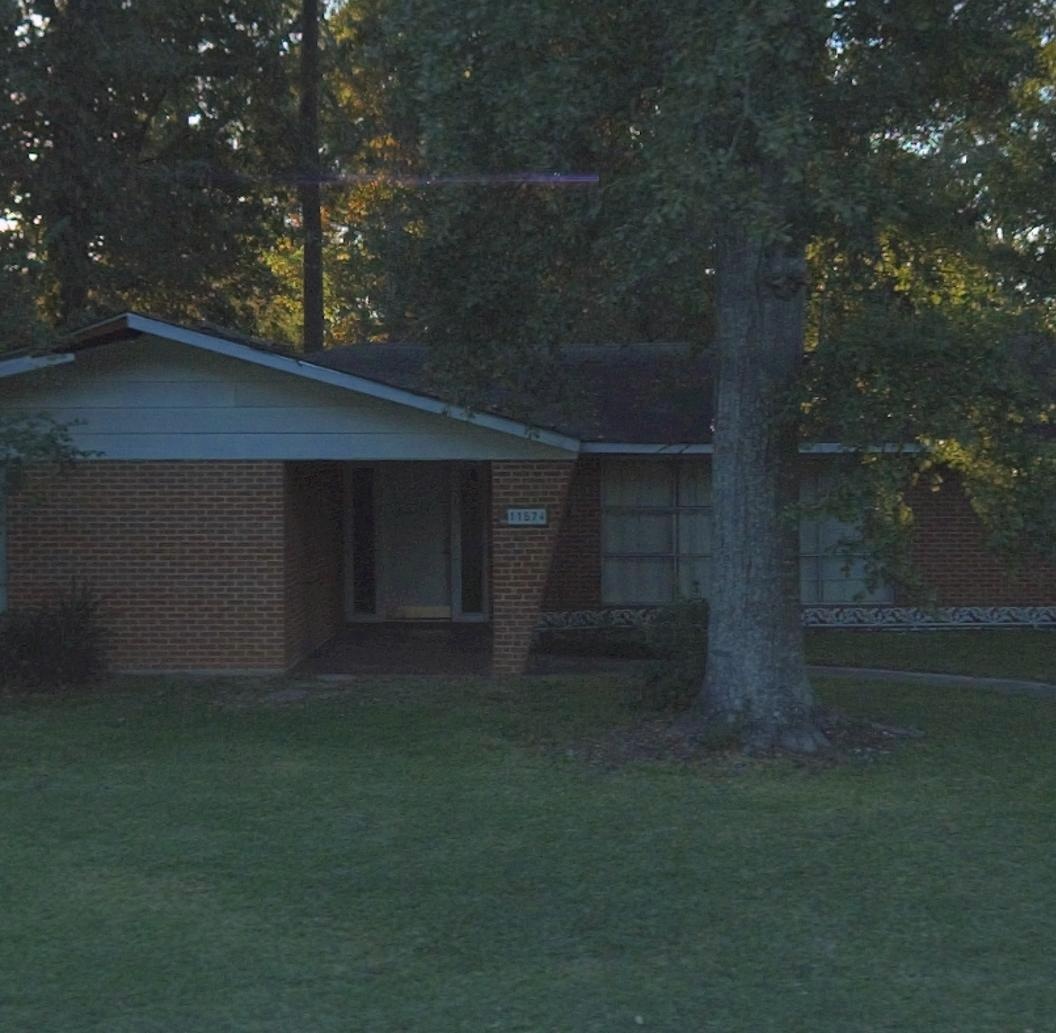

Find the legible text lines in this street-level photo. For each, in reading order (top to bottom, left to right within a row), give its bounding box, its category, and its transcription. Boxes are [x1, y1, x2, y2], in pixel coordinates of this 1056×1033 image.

[509, 510, 546, 523] StreetNumber: 11*74